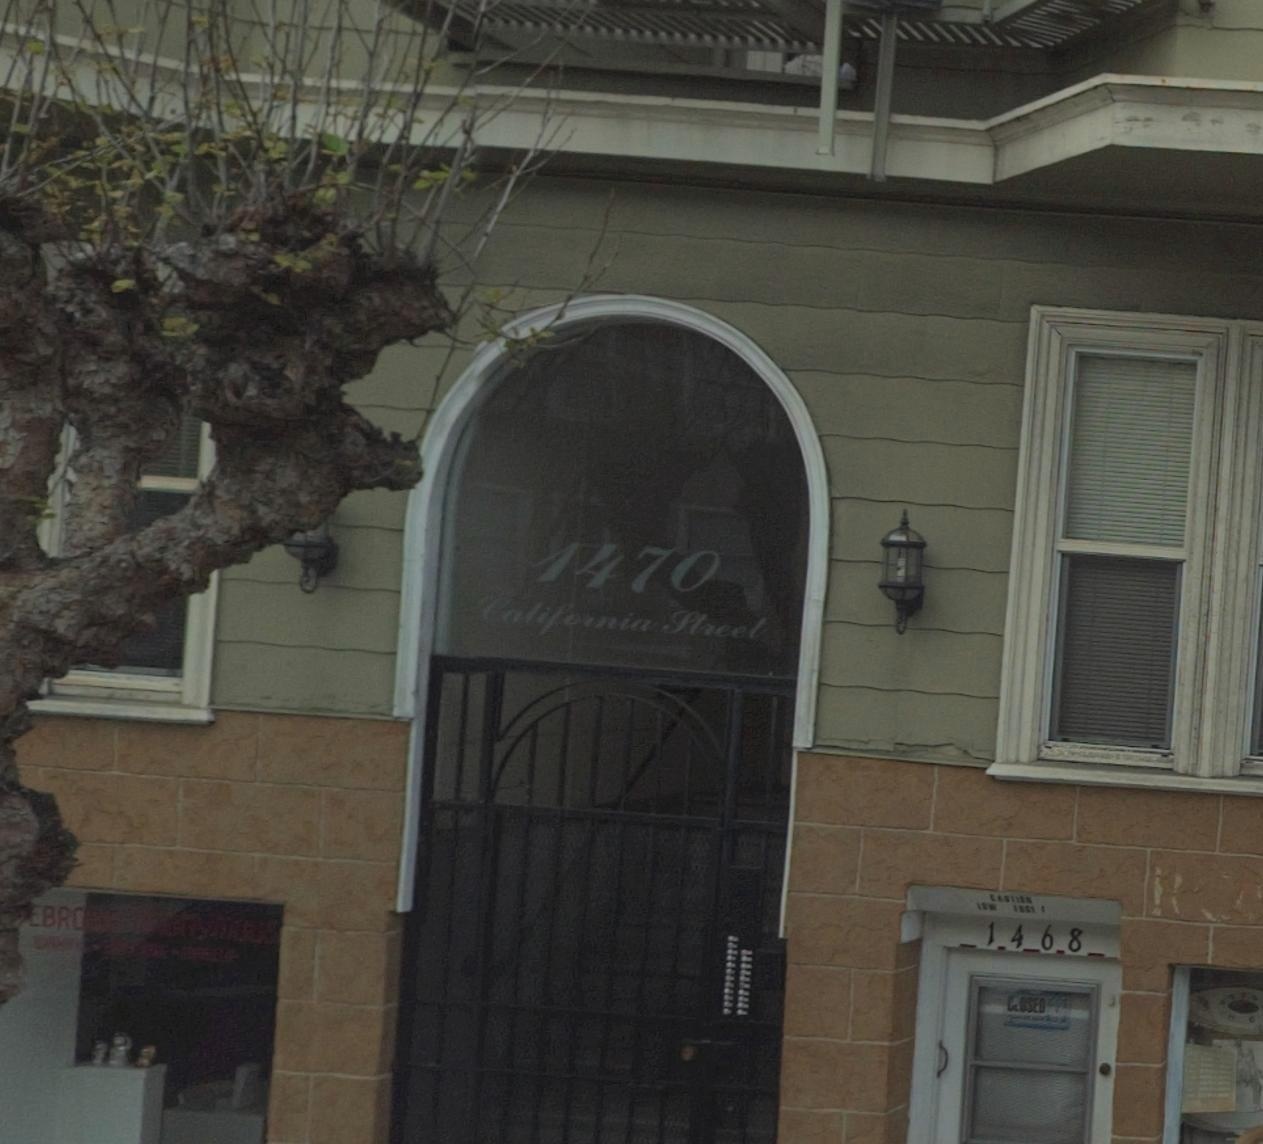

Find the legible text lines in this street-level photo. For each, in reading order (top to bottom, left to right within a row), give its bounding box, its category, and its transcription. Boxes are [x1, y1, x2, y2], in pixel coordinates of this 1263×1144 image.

[527, 538, 726, 596] StreetNumber: 1470
[480, 591, 770, 640] StreetName: California Street
[41, 903, 75, 933] None: BR
[974, 901, 998, 912] None: LOW
[987, 893, 1034, 905] None: CAUTION
[985, 917, 1087, 954] StreetNumber: 1468
[1005, 992, 1049, 1016] None: C*OSED